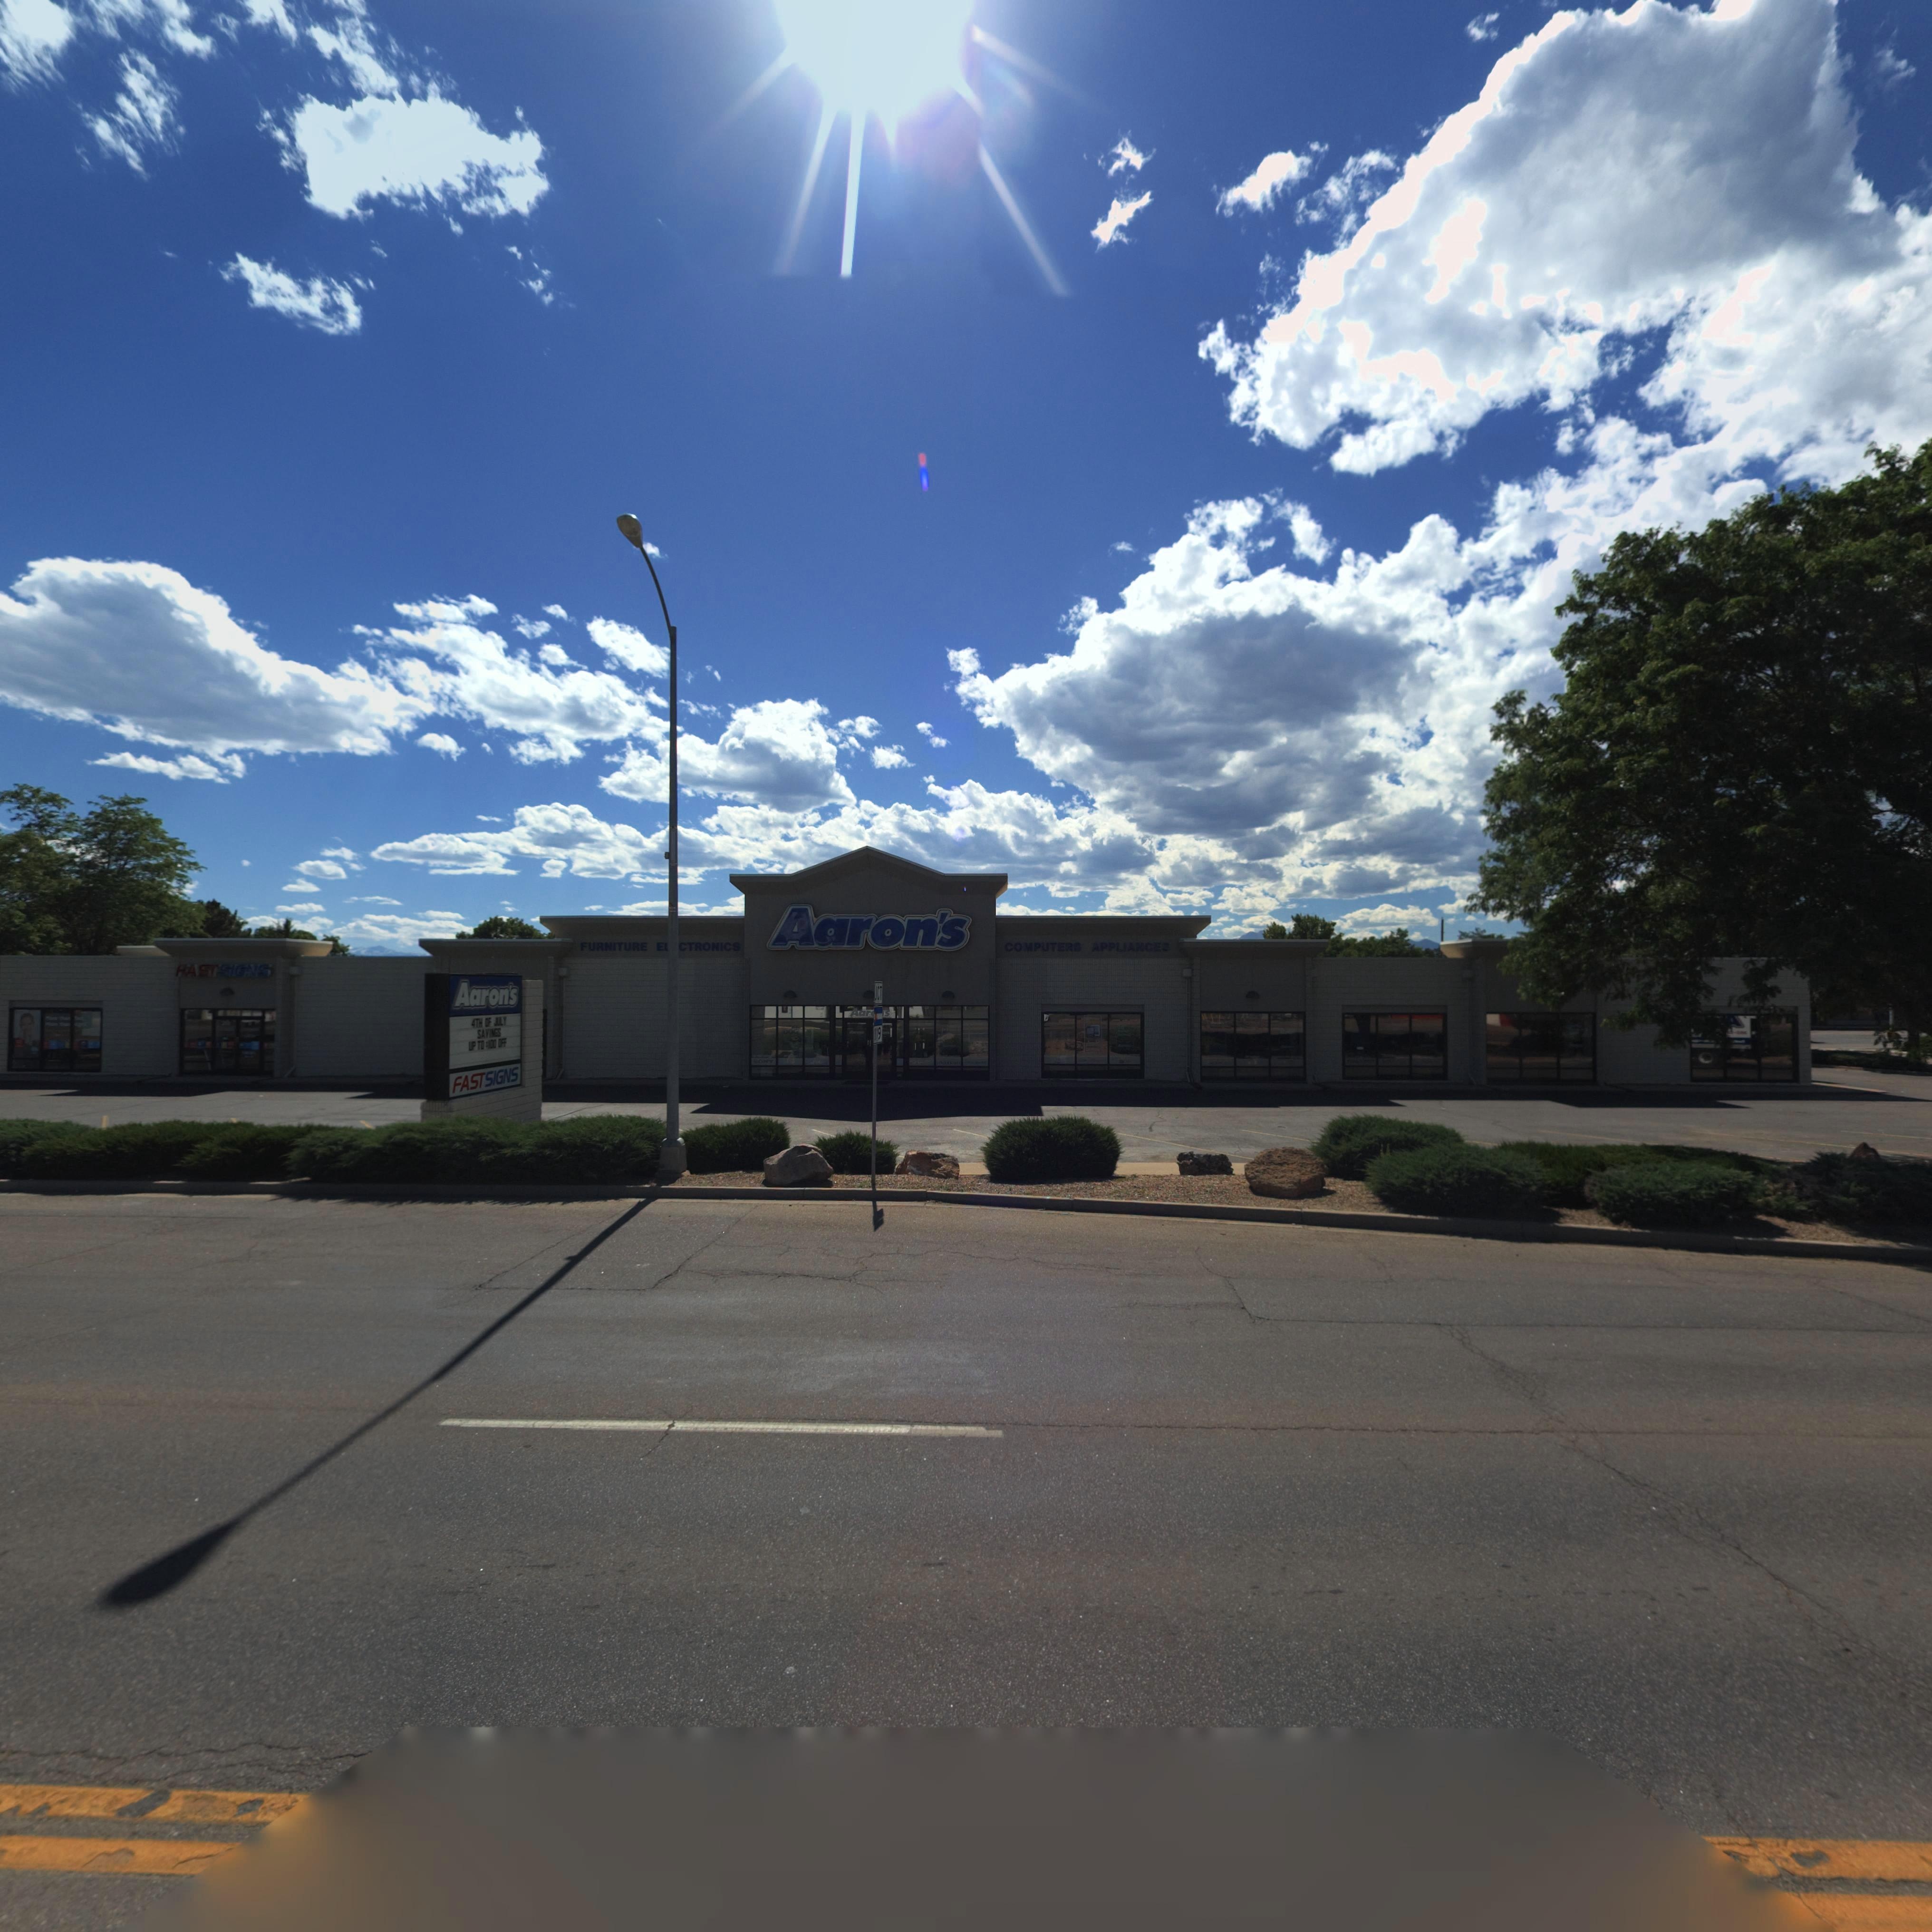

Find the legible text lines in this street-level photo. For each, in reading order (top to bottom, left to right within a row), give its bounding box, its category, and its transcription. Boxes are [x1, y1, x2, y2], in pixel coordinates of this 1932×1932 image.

[770, 906, 967, 947] BusinessName: Aaron's
[174, 963, 270, 977] BusinessName: FAST SIGNS
[454, 981, 518, 1007] BusinessName: Aaron's
[849, 1007, 890, 1017] BusinessName: Aar**'s
[452, 1066, 519, 1093] BusinessName: FASTSIGNS